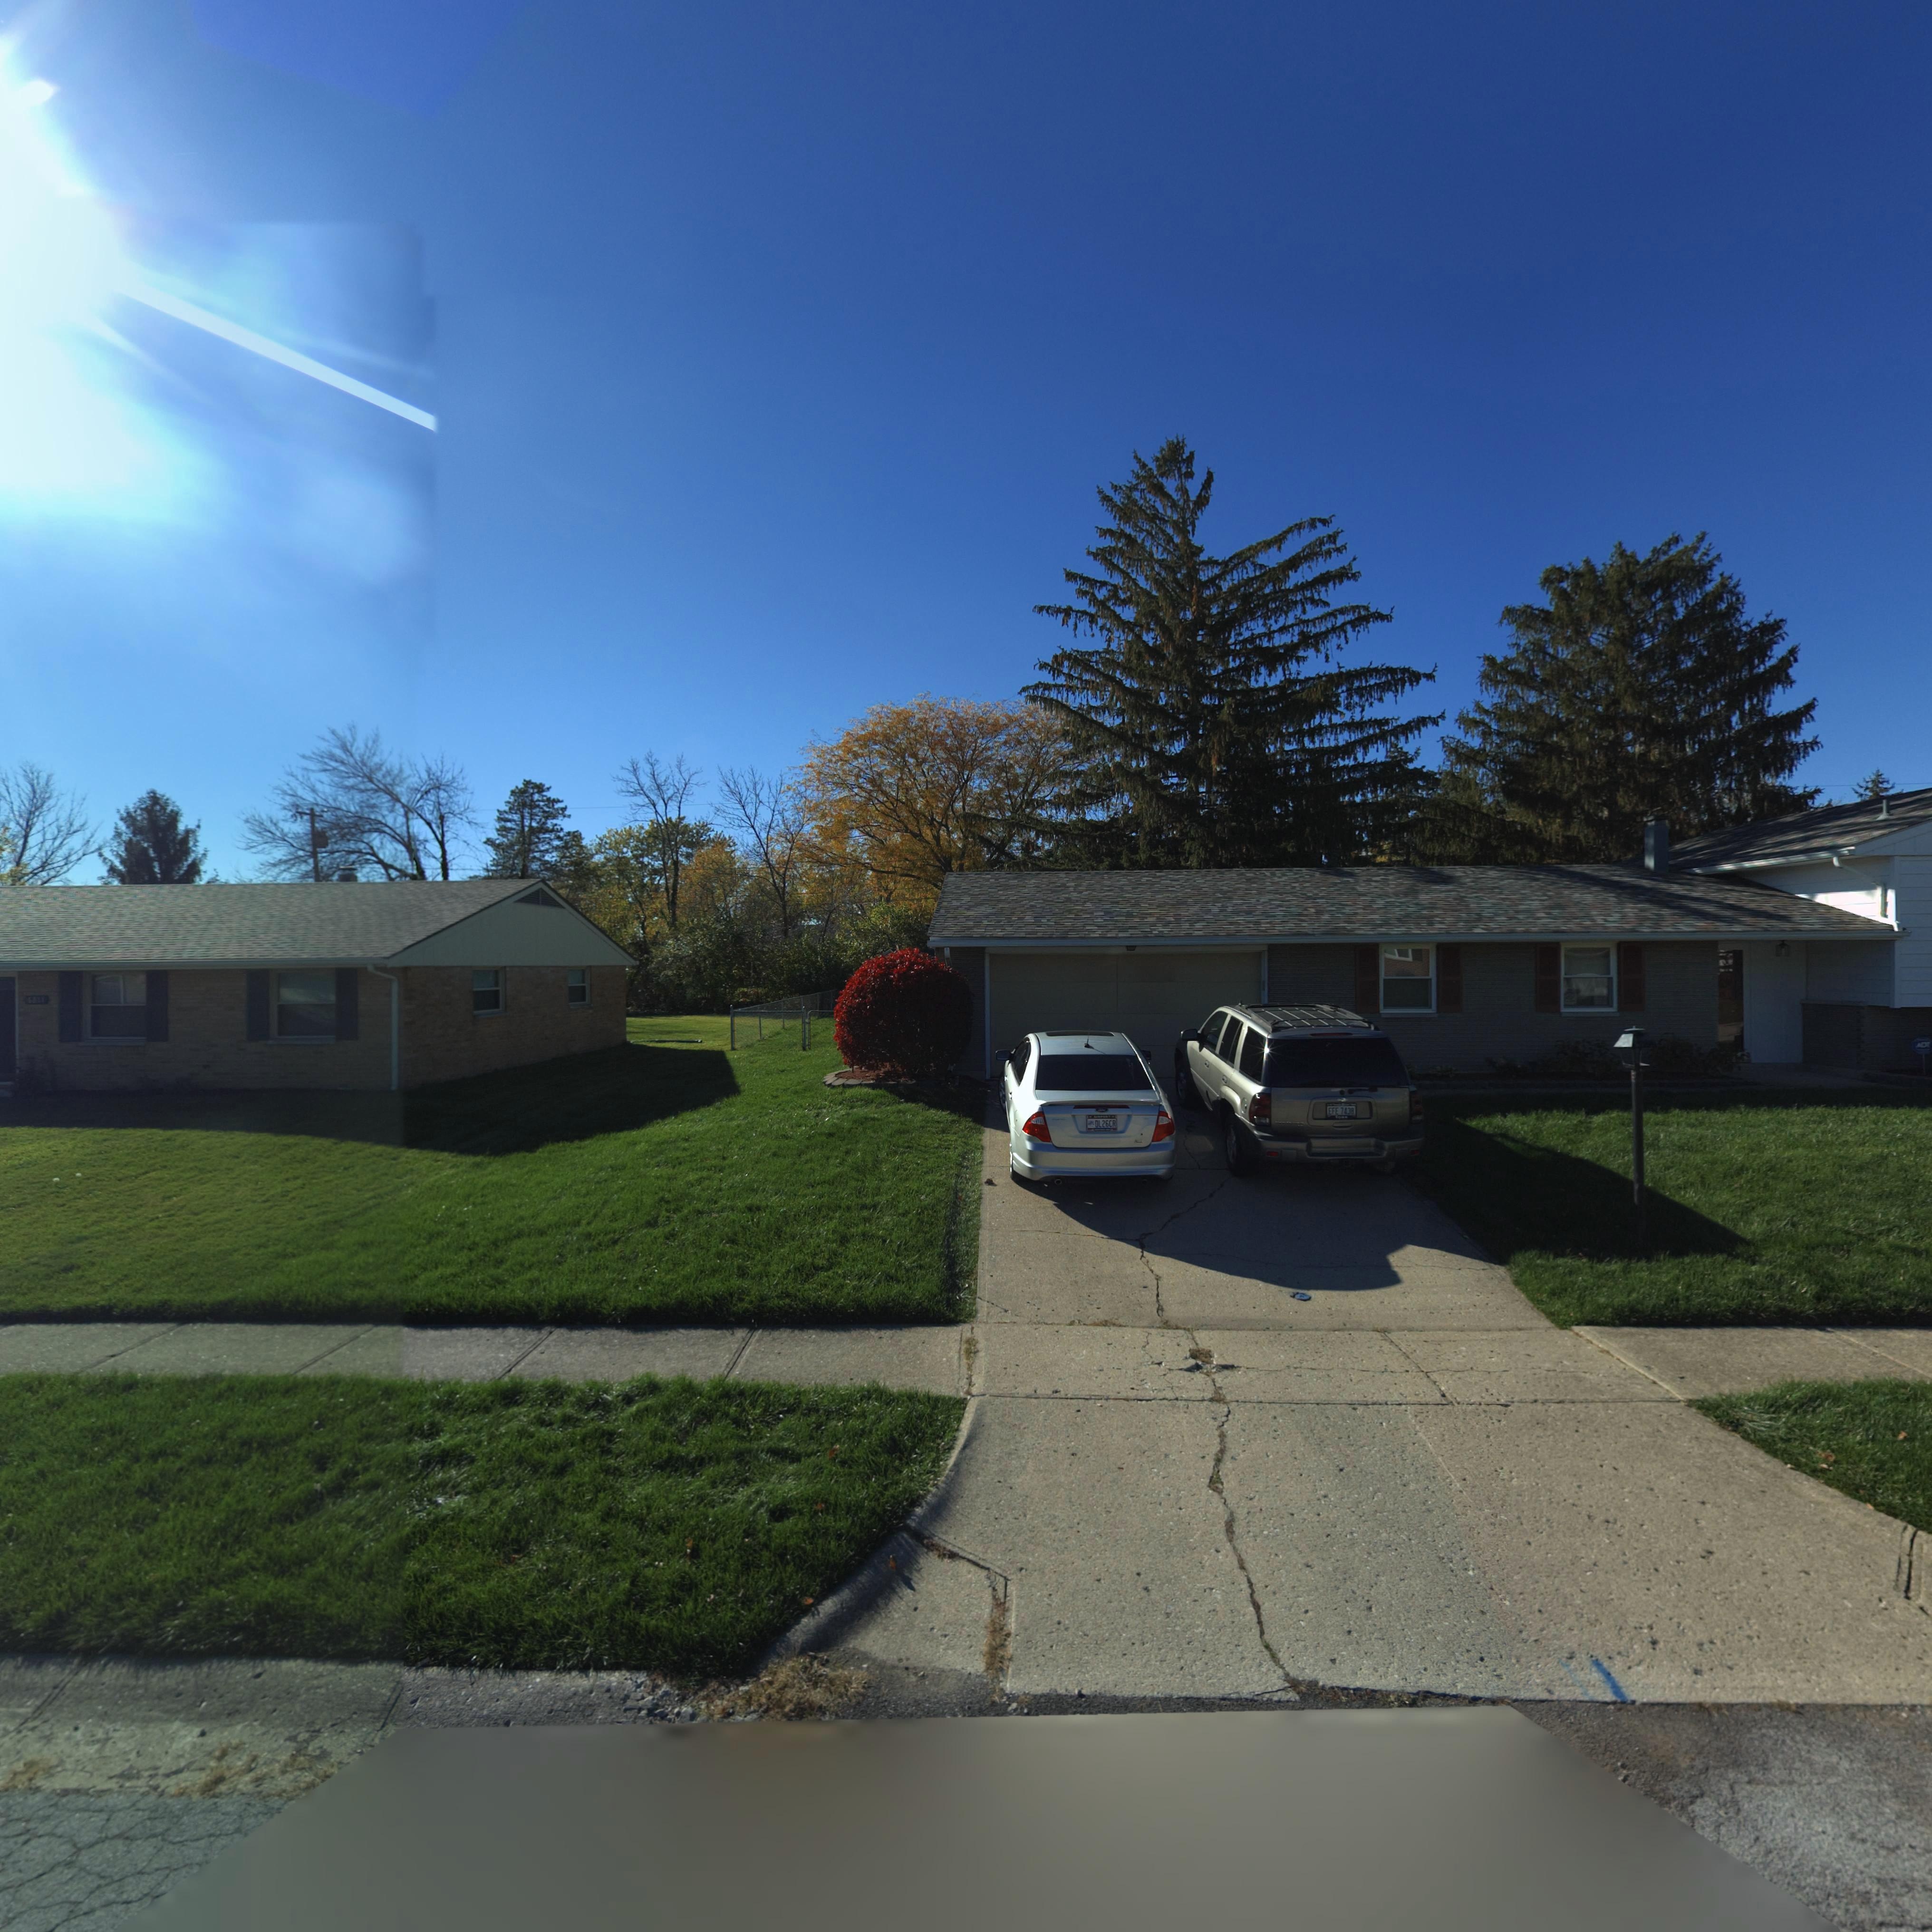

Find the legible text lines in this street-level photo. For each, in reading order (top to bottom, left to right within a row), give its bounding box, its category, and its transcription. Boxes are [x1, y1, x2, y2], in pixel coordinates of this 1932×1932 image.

[26, 995, 45, 1004] StreetNumber: 68**